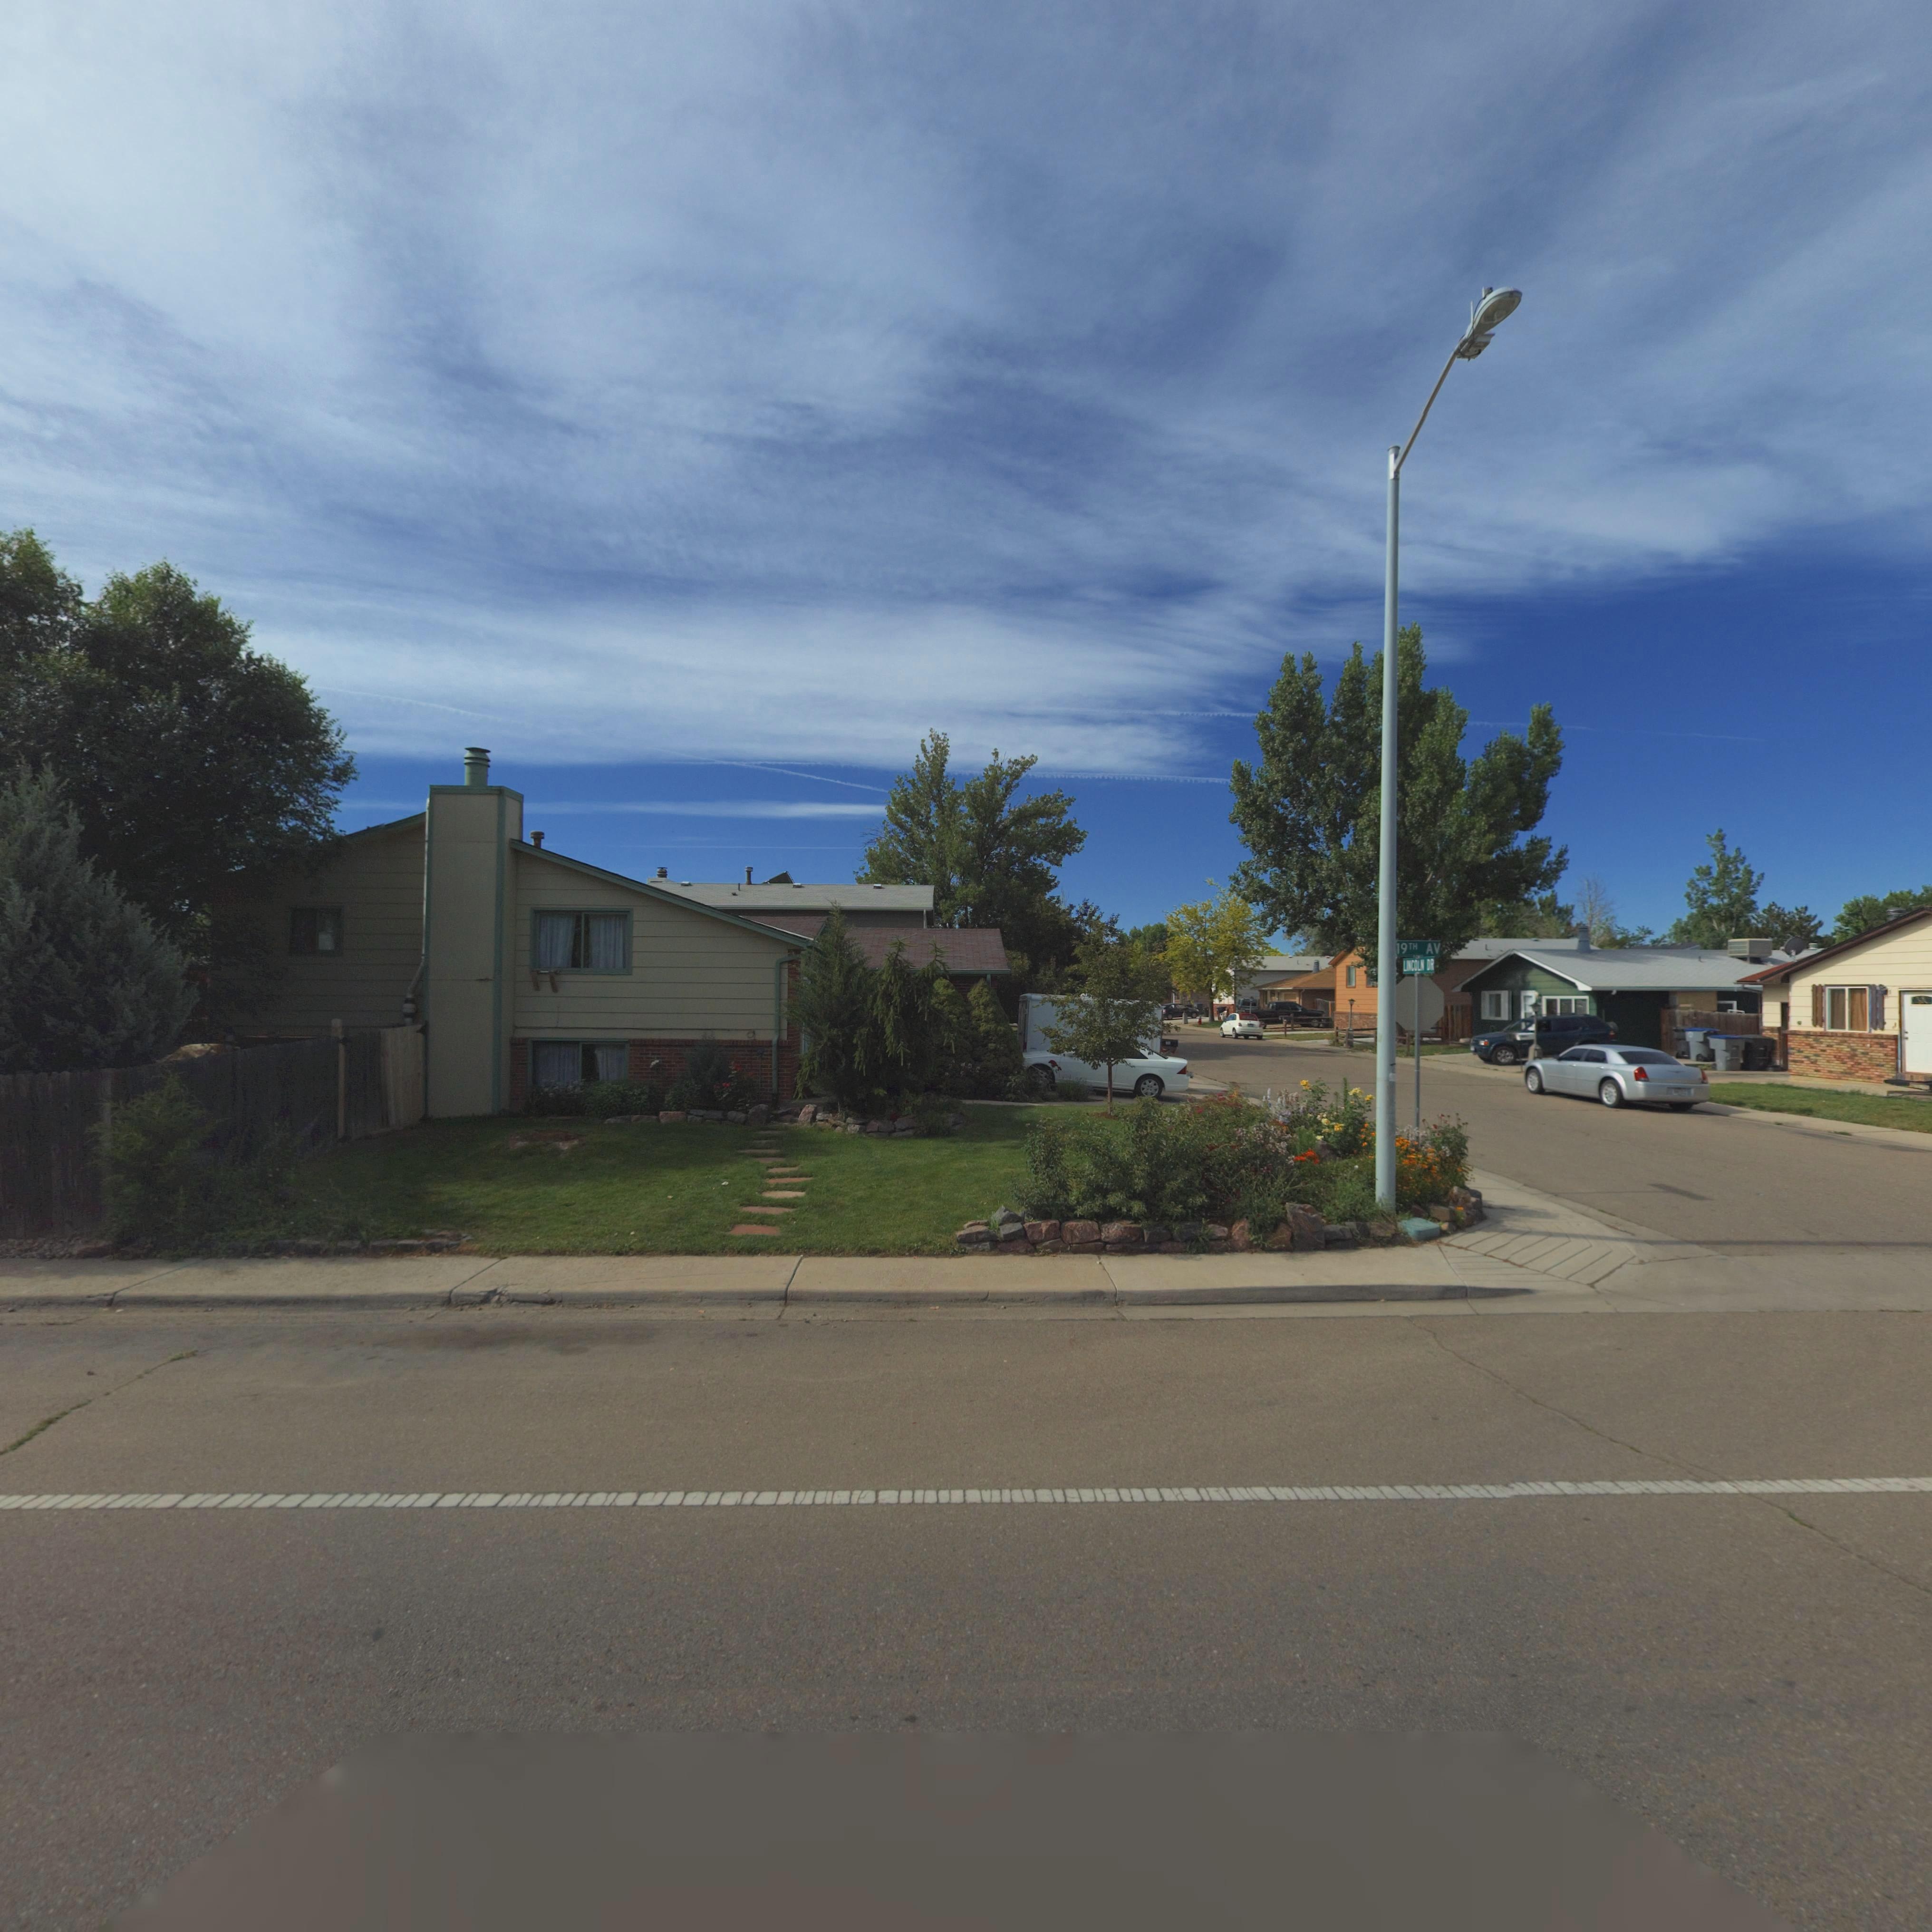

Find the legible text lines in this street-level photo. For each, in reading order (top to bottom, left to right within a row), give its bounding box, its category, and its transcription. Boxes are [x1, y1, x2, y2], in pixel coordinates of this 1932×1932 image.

[1395, 942, 1441, 955] StreetName: 19TH AV
[1402, 958, 1434, 972] StreetName: LINCOLN DR